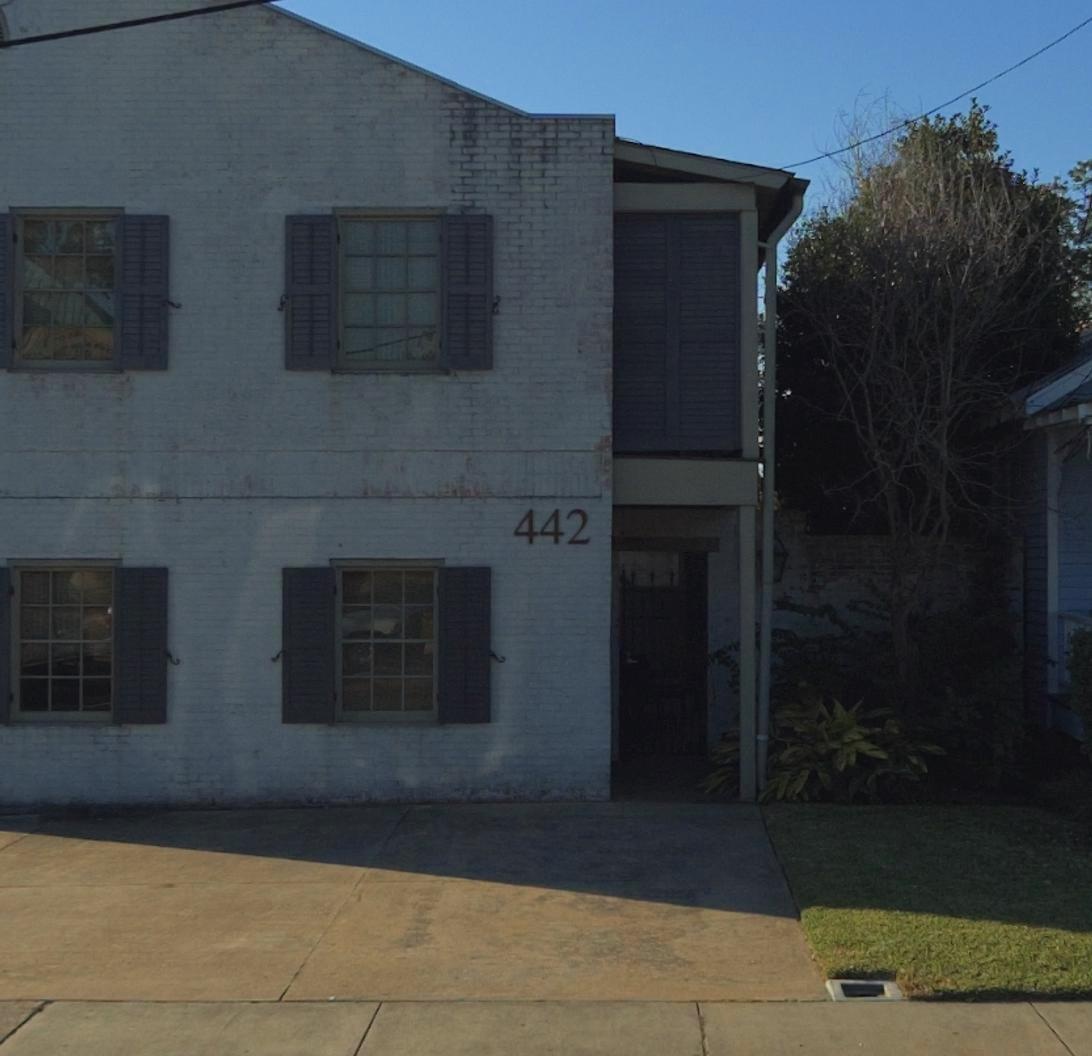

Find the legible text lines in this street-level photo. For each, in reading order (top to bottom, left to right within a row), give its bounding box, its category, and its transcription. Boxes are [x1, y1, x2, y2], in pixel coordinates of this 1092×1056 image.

[510, 504, 593, 549] StreetNumber: 442